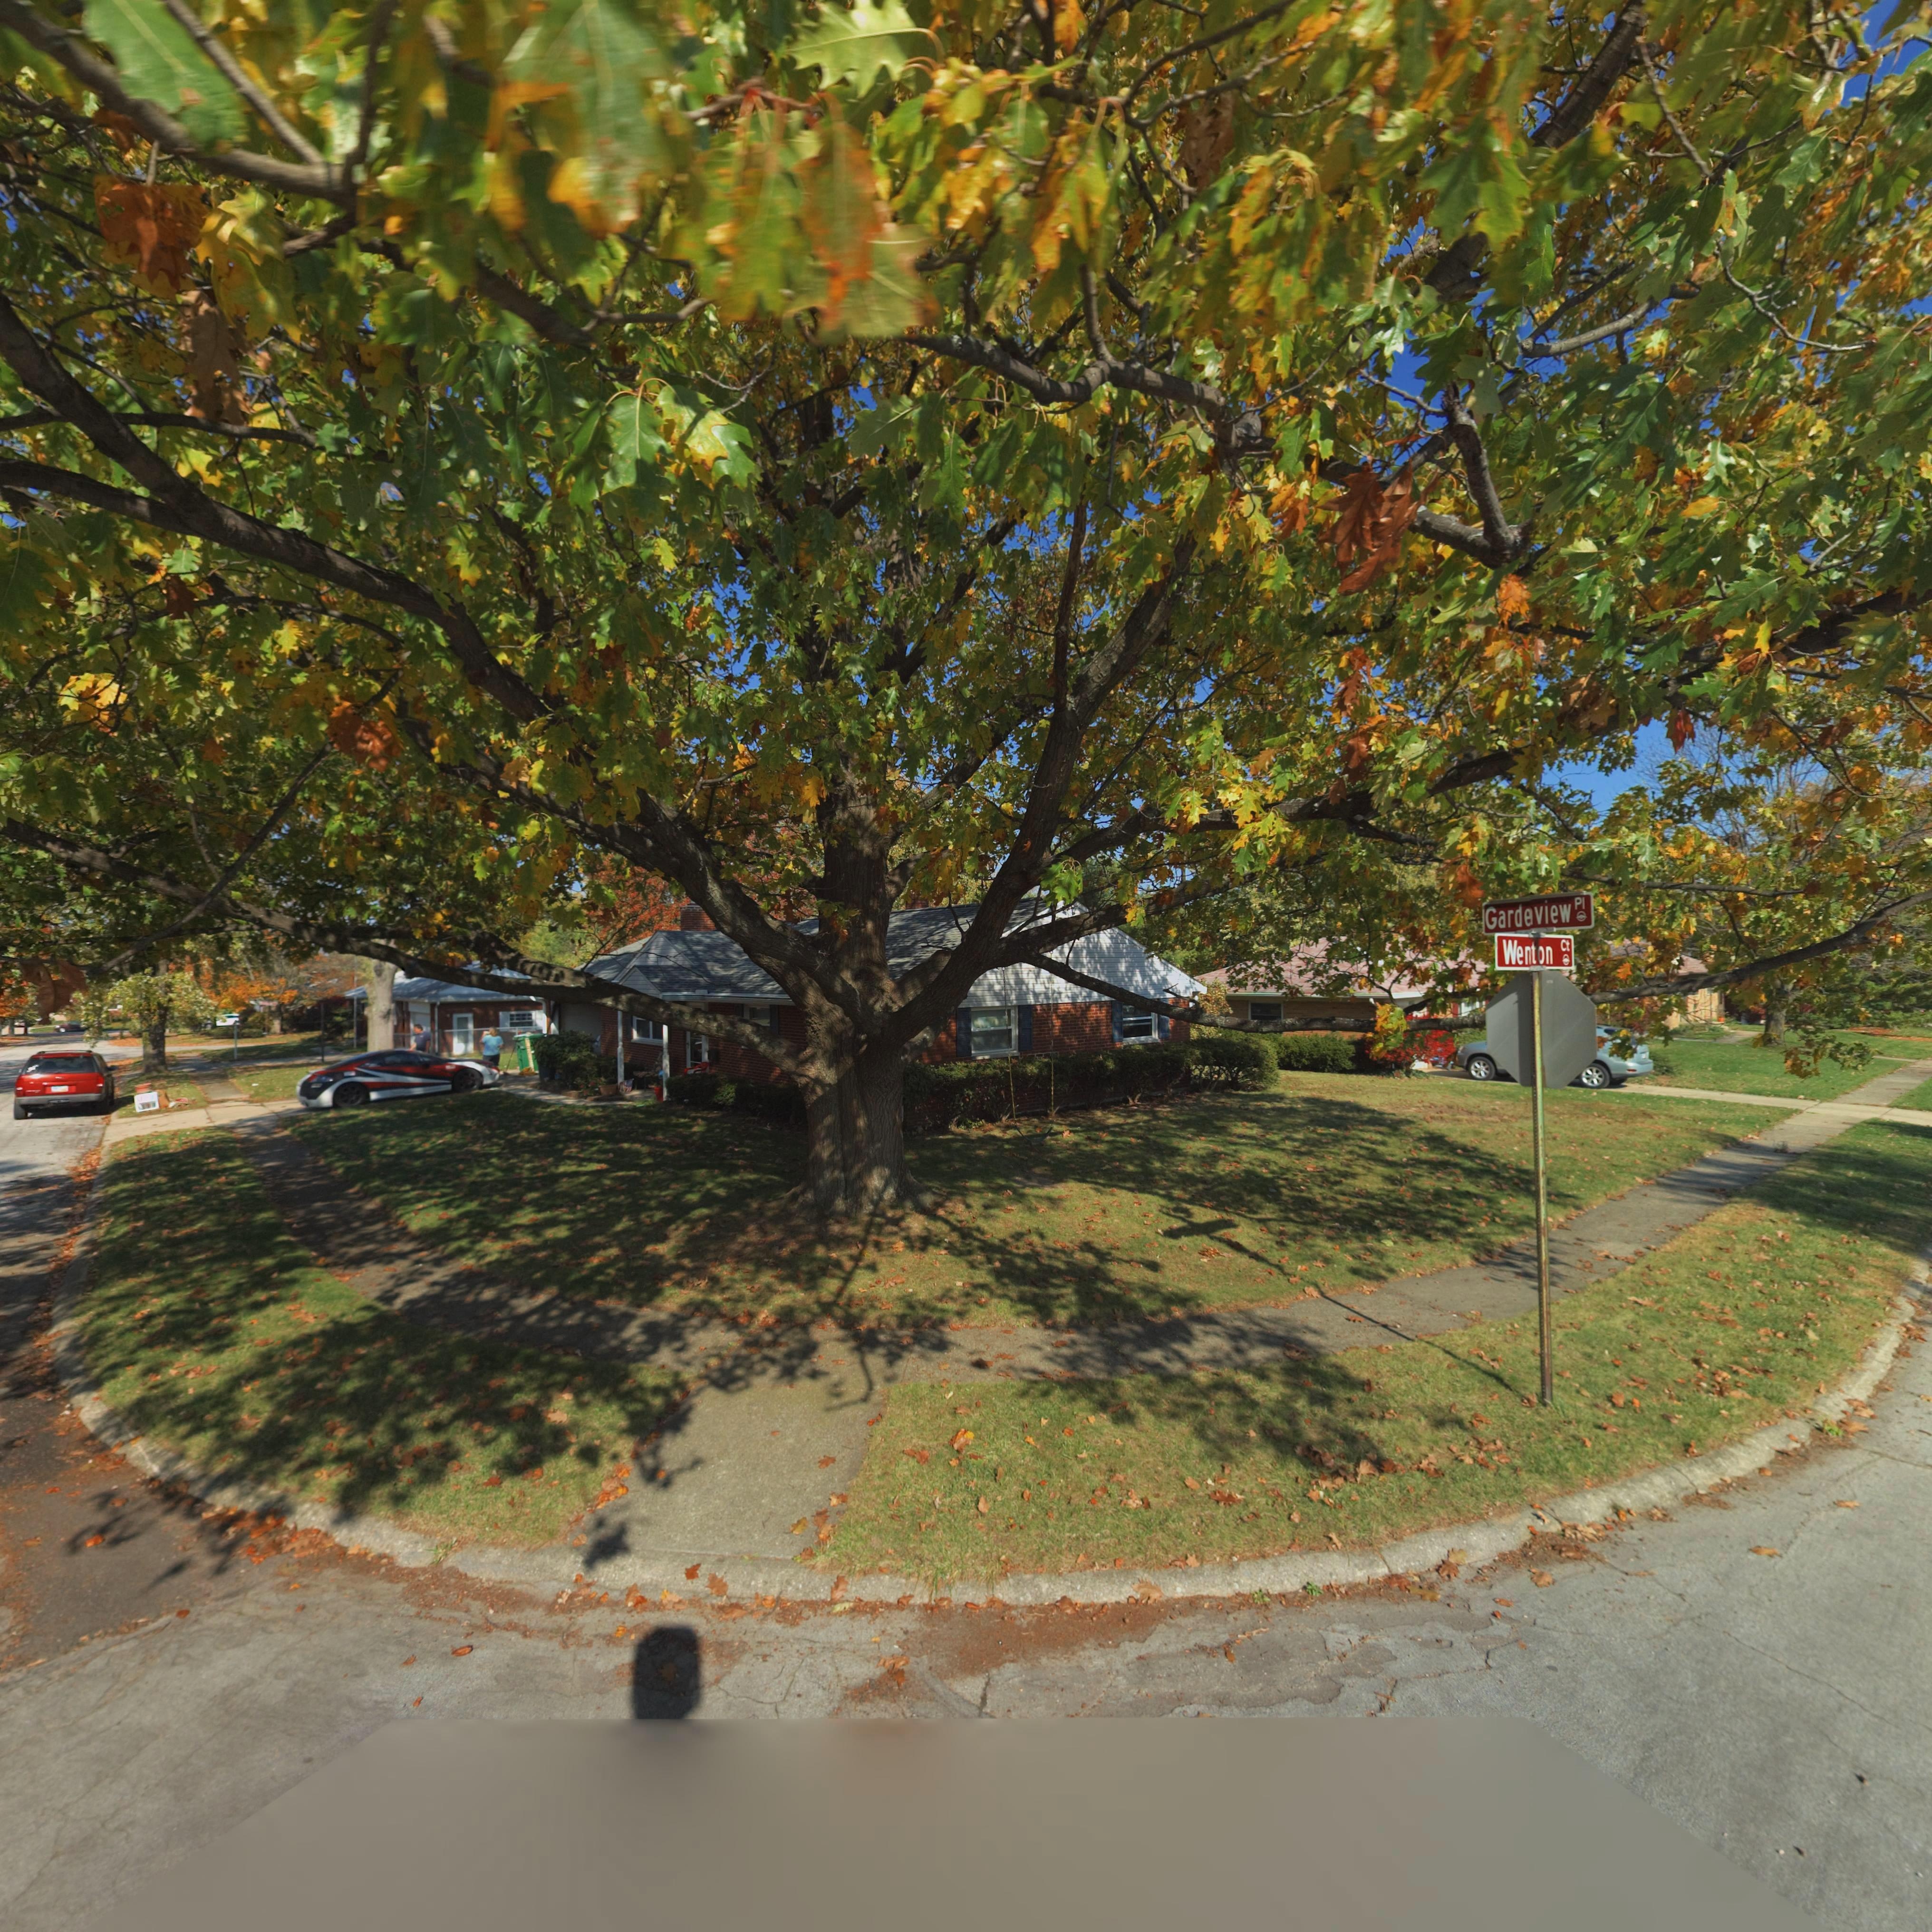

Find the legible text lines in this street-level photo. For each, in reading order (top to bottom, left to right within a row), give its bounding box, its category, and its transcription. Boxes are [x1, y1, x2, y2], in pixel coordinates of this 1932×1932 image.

[1484, 894, 1586, 931] StreetName: Gard**view Pl
[1501, 938, 1572, 966] StreetName: Wenton Ct